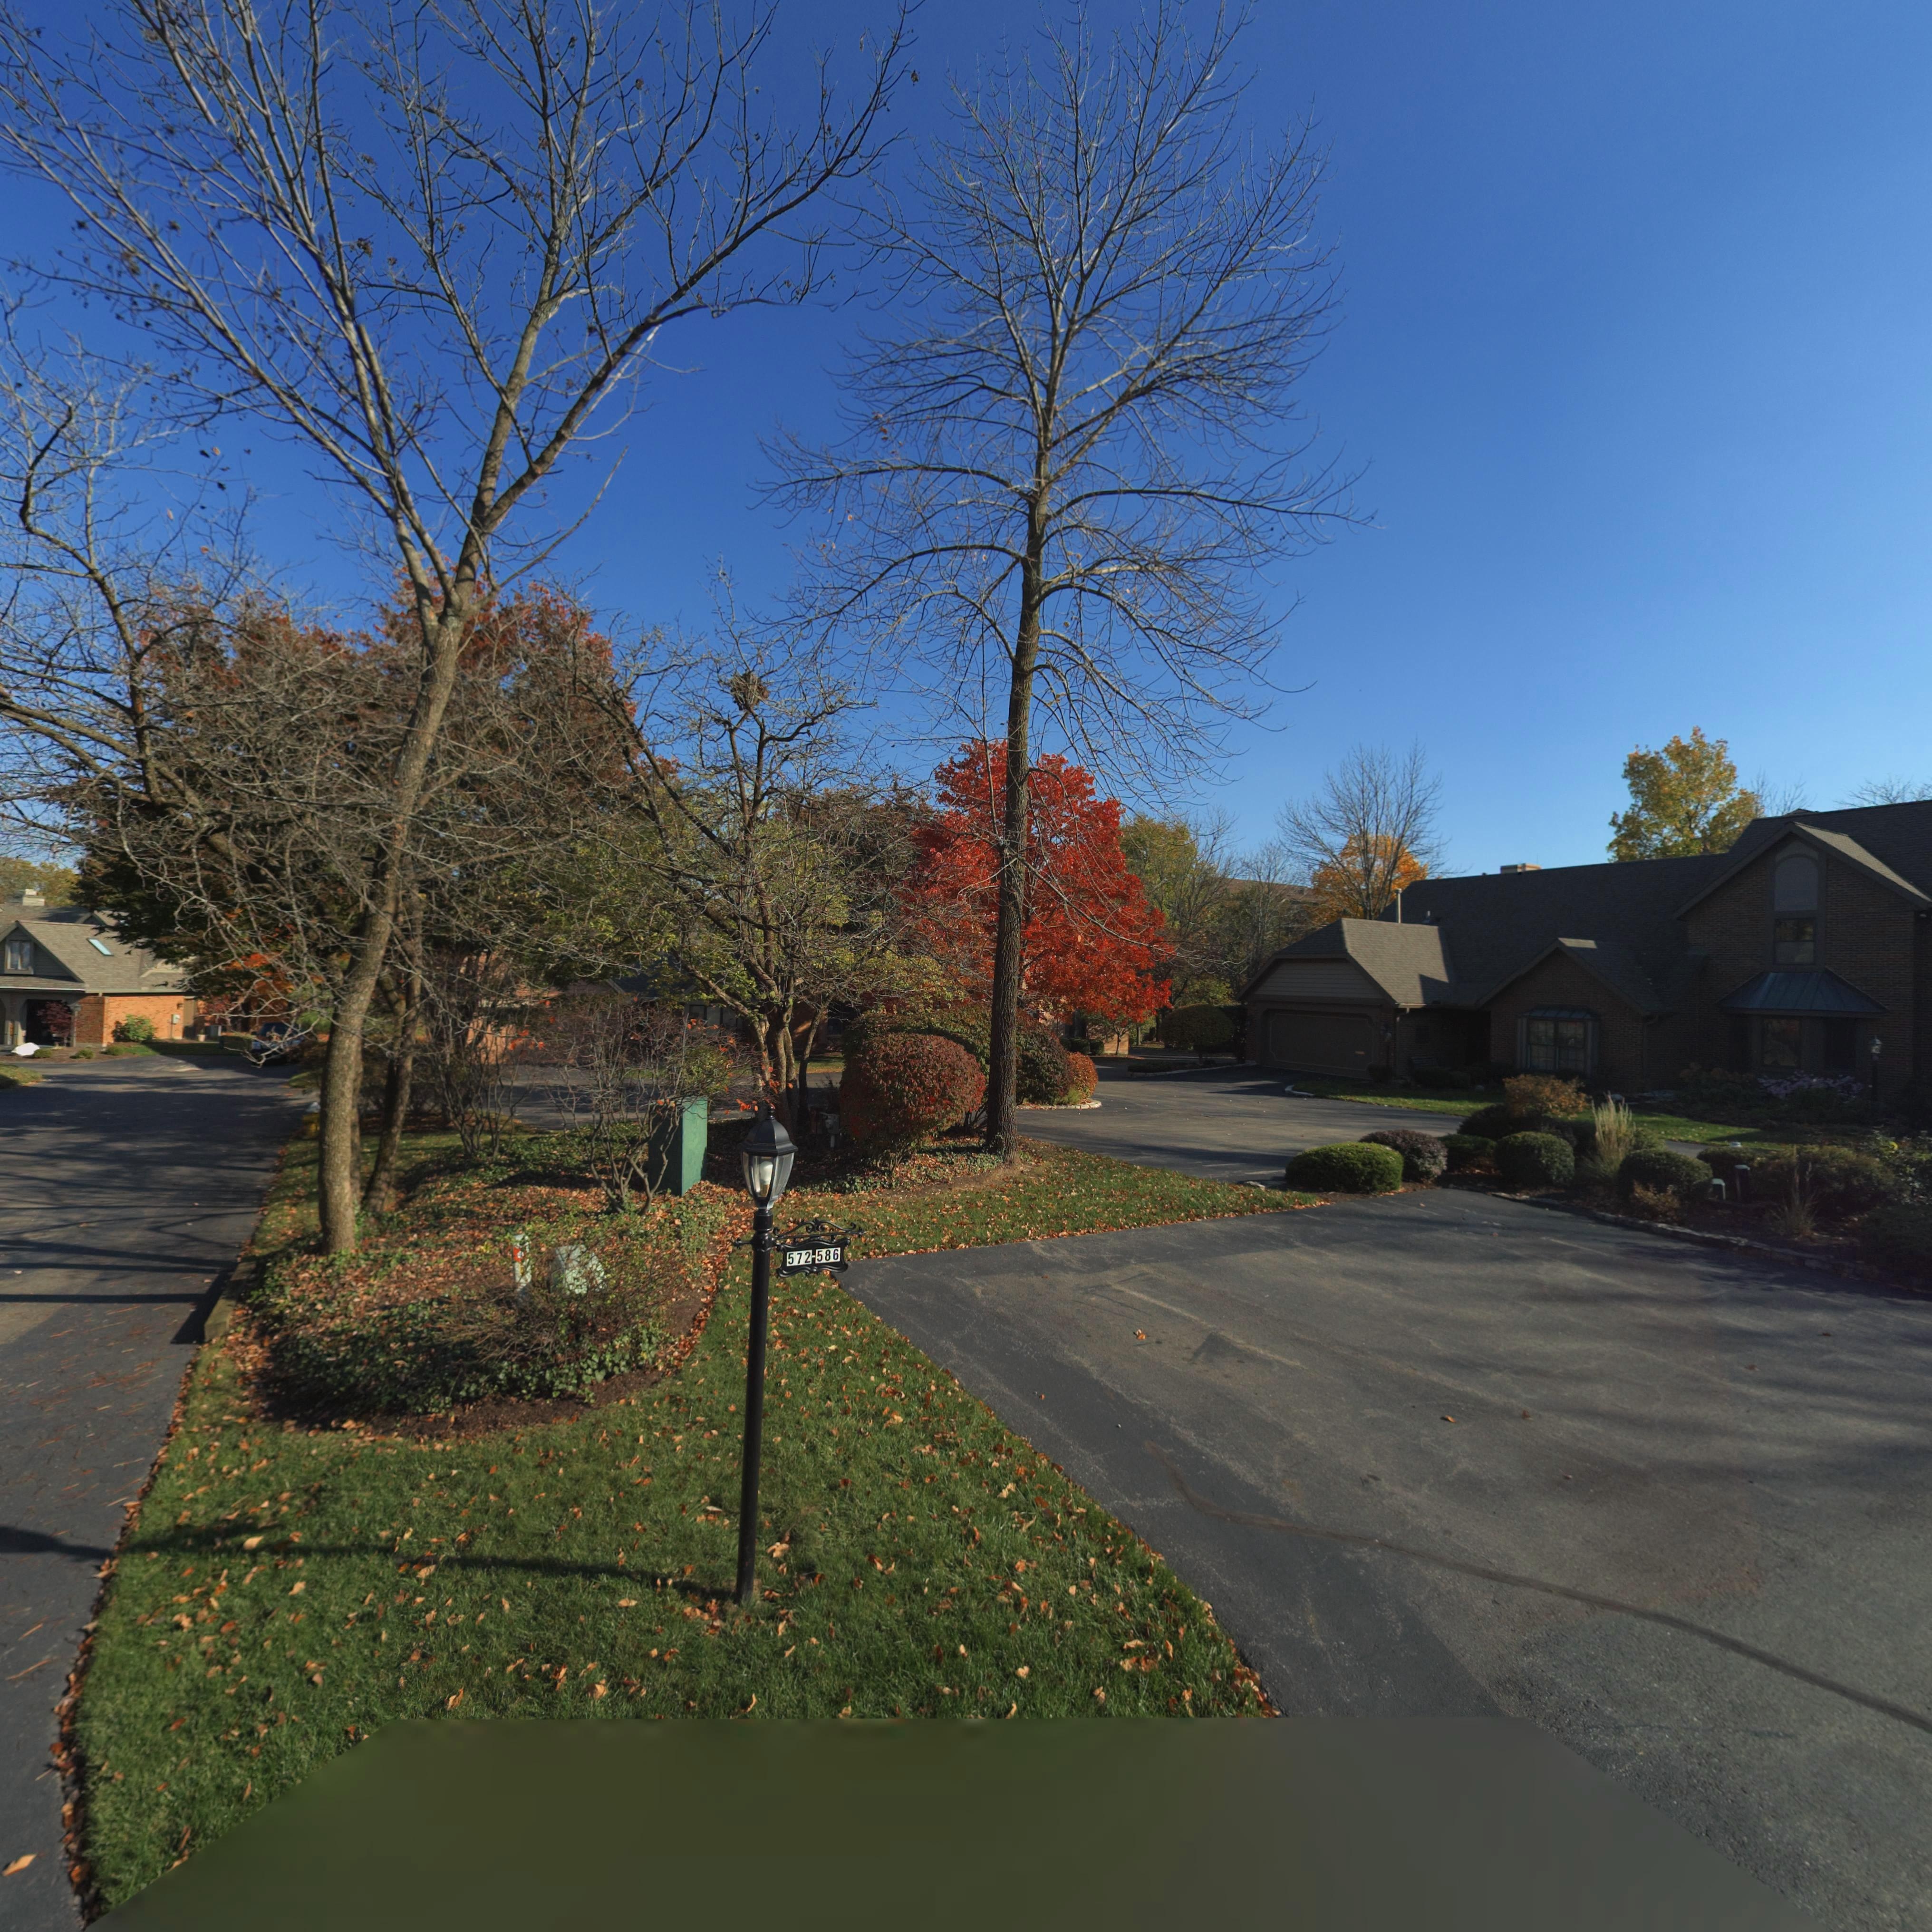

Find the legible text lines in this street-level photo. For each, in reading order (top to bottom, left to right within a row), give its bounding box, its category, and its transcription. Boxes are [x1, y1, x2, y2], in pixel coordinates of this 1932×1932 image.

[786, 1250, 811, 1265] StreetNumber: 572
[817, 1248, 839, 1263] StreetNumber: 586